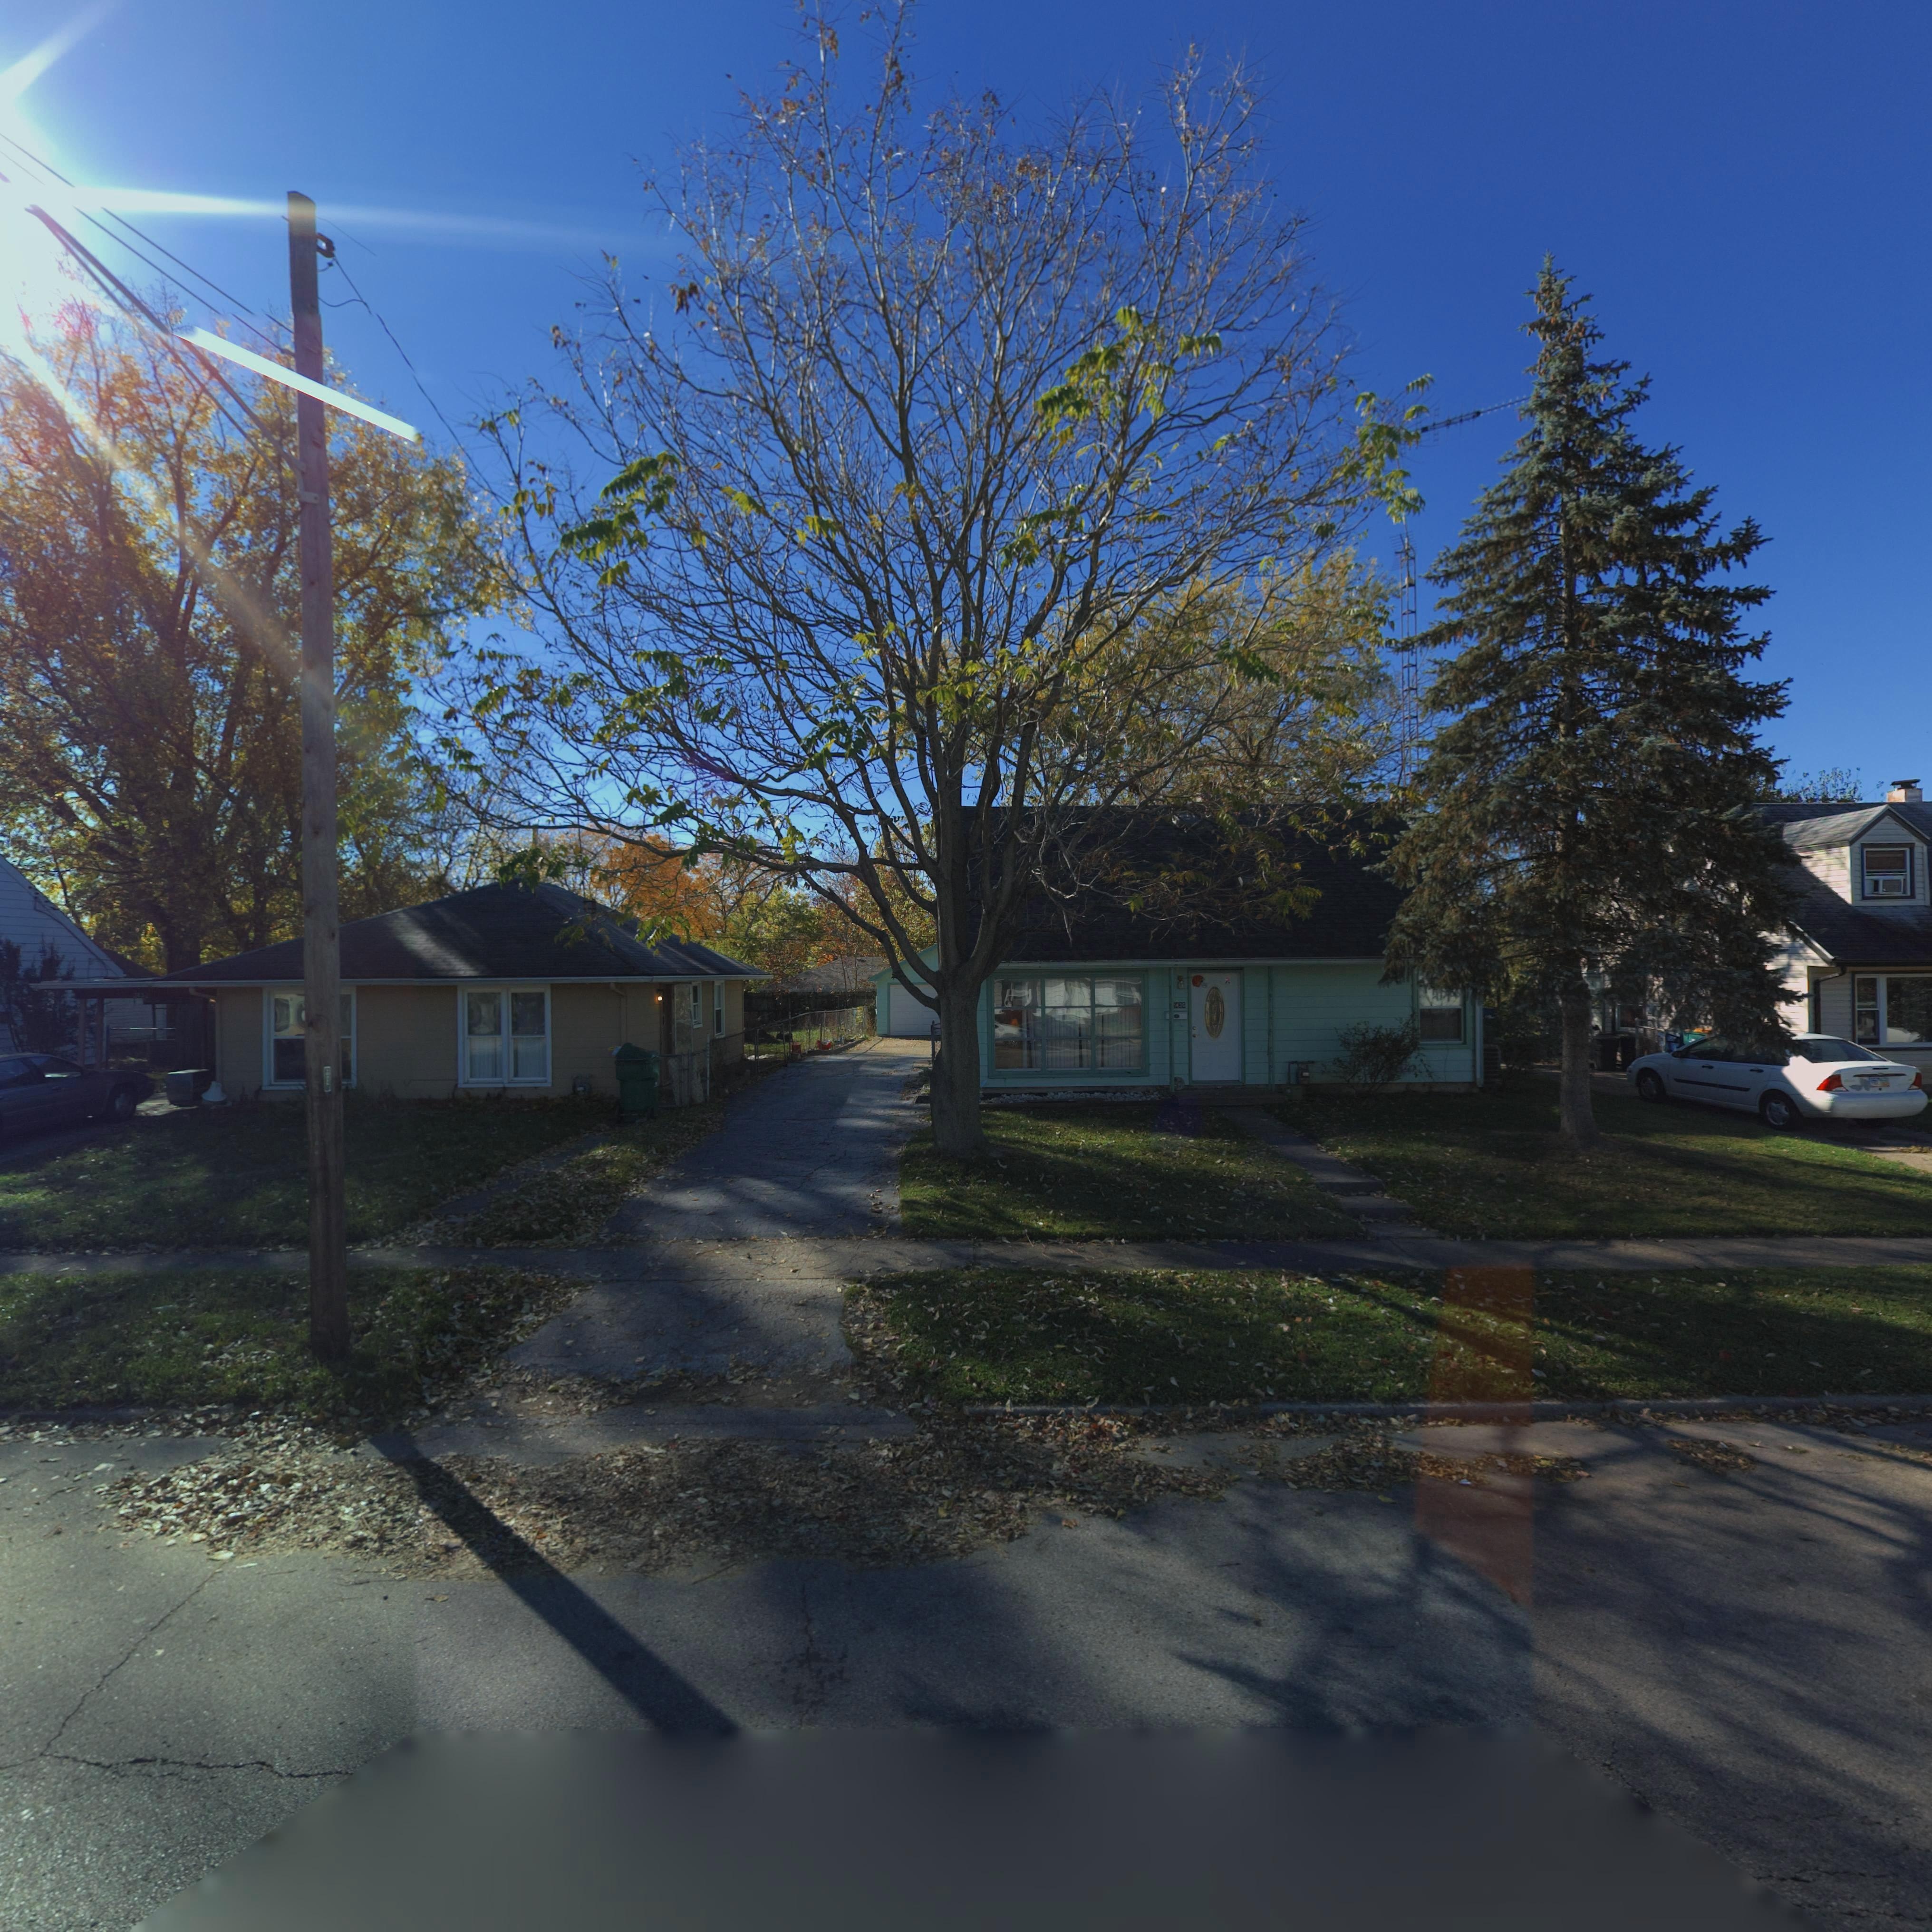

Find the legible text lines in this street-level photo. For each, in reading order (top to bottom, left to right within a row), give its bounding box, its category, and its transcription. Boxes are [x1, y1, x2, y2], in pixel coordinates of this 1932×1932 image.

[132, 992, 149, 999] StreetNumber: *432
[1175, 1003, 1186, 1008] StreetNumber: 436